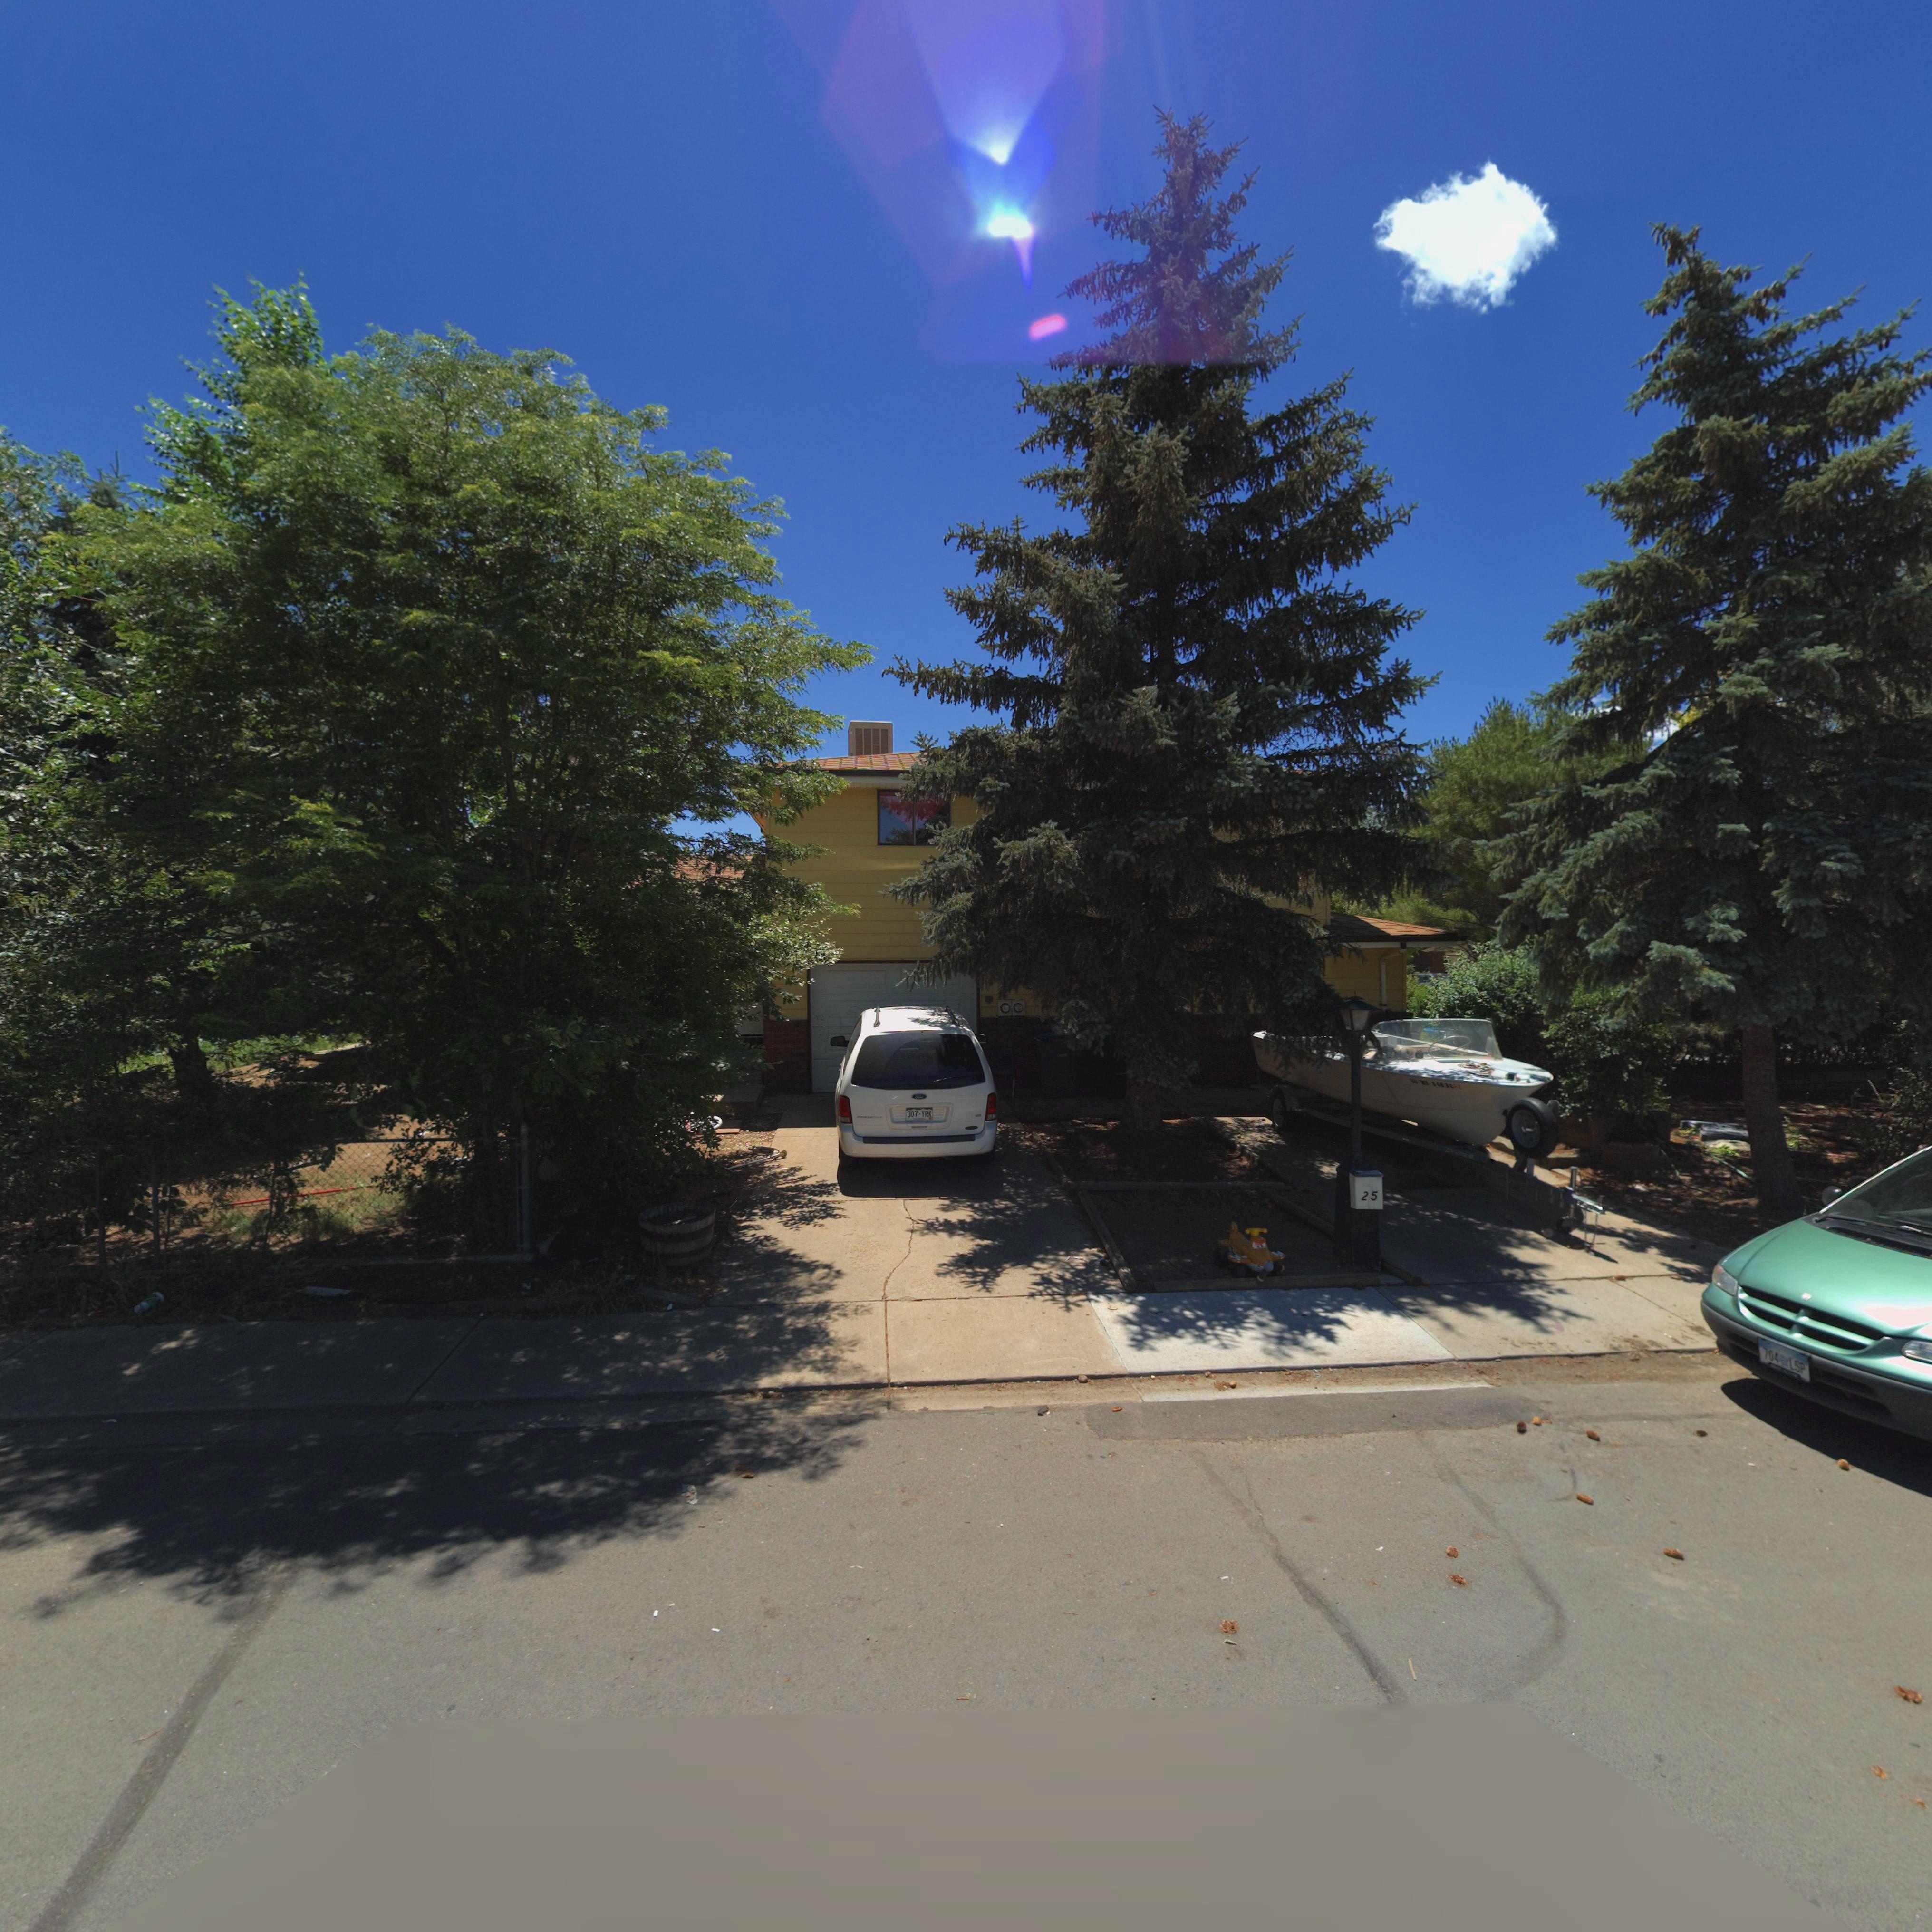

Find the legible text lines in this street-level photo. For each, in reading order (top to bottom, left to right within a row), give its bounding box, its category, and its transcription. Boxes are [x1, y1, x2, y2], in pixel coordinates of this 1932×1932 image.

[1361, 1190, 1379, 1201] StreetNumber: 25